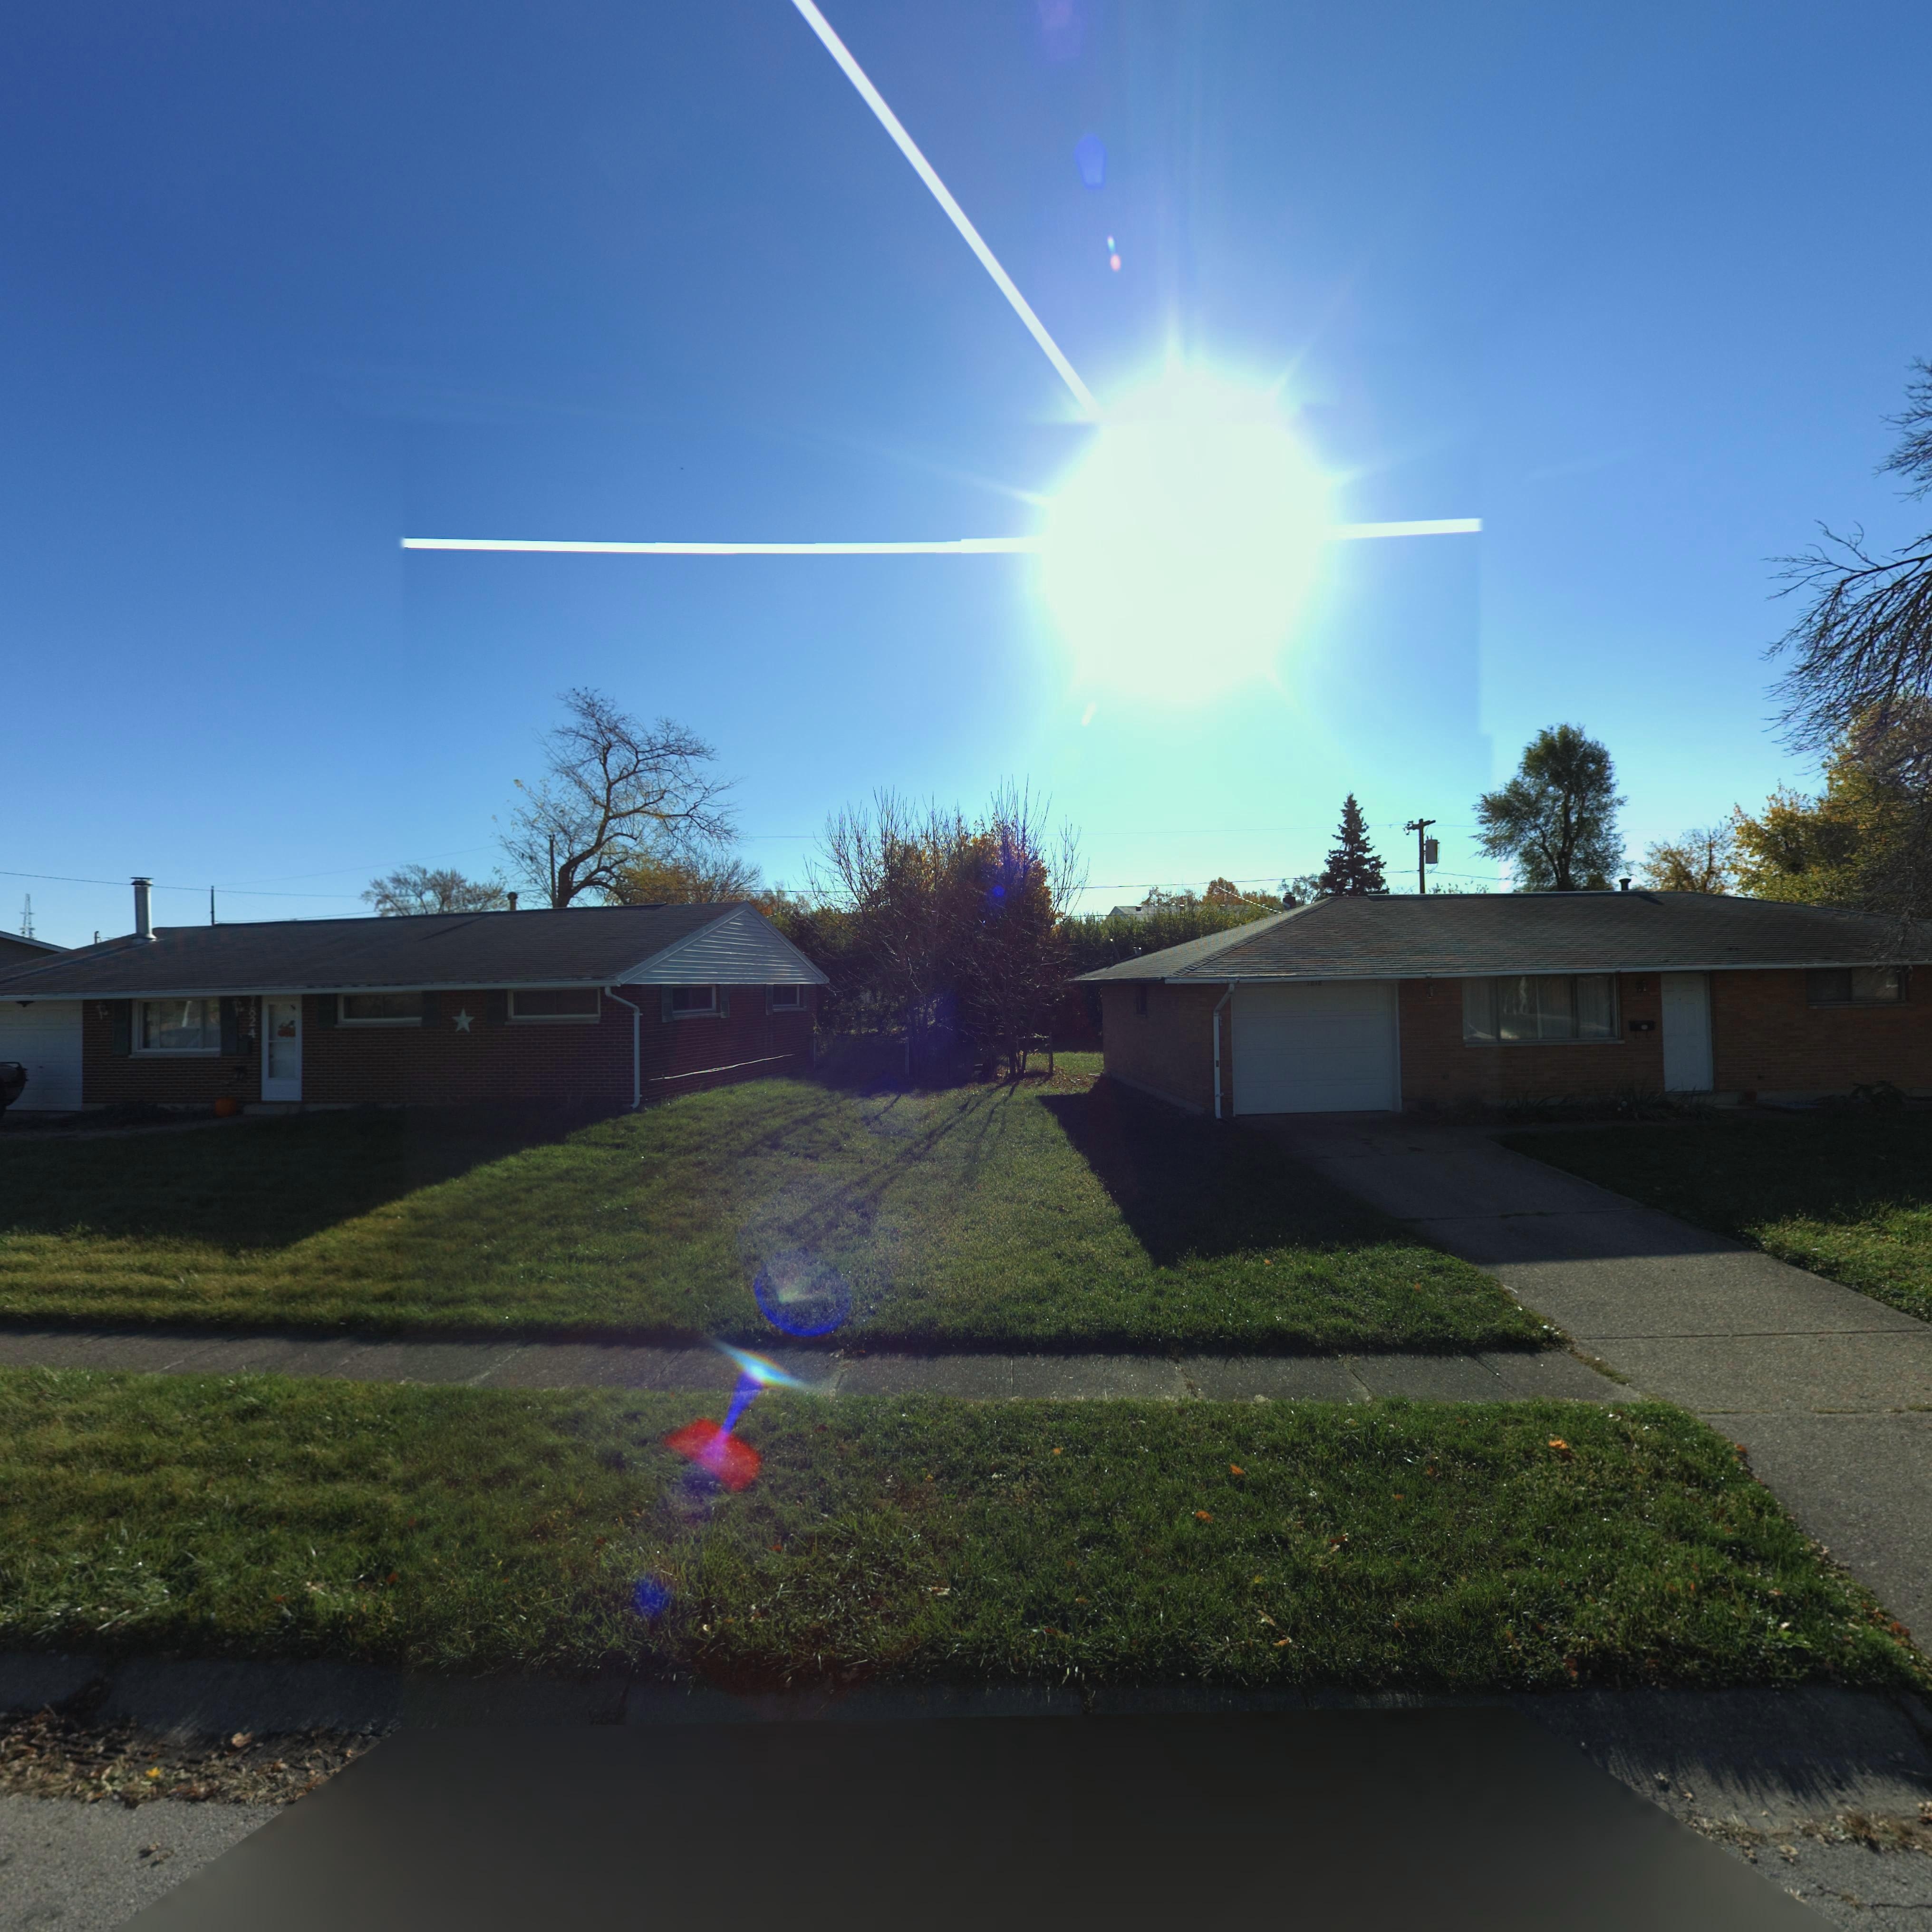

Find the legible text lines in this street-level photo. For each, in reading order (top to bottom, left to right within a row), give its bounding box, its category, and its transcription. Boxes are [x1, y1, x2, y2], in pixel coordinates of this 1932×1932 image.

[1305, 980, 1323, 987] StreetNumber: 7818
[247, 995, 257, 1039] StreetNumber: 7824